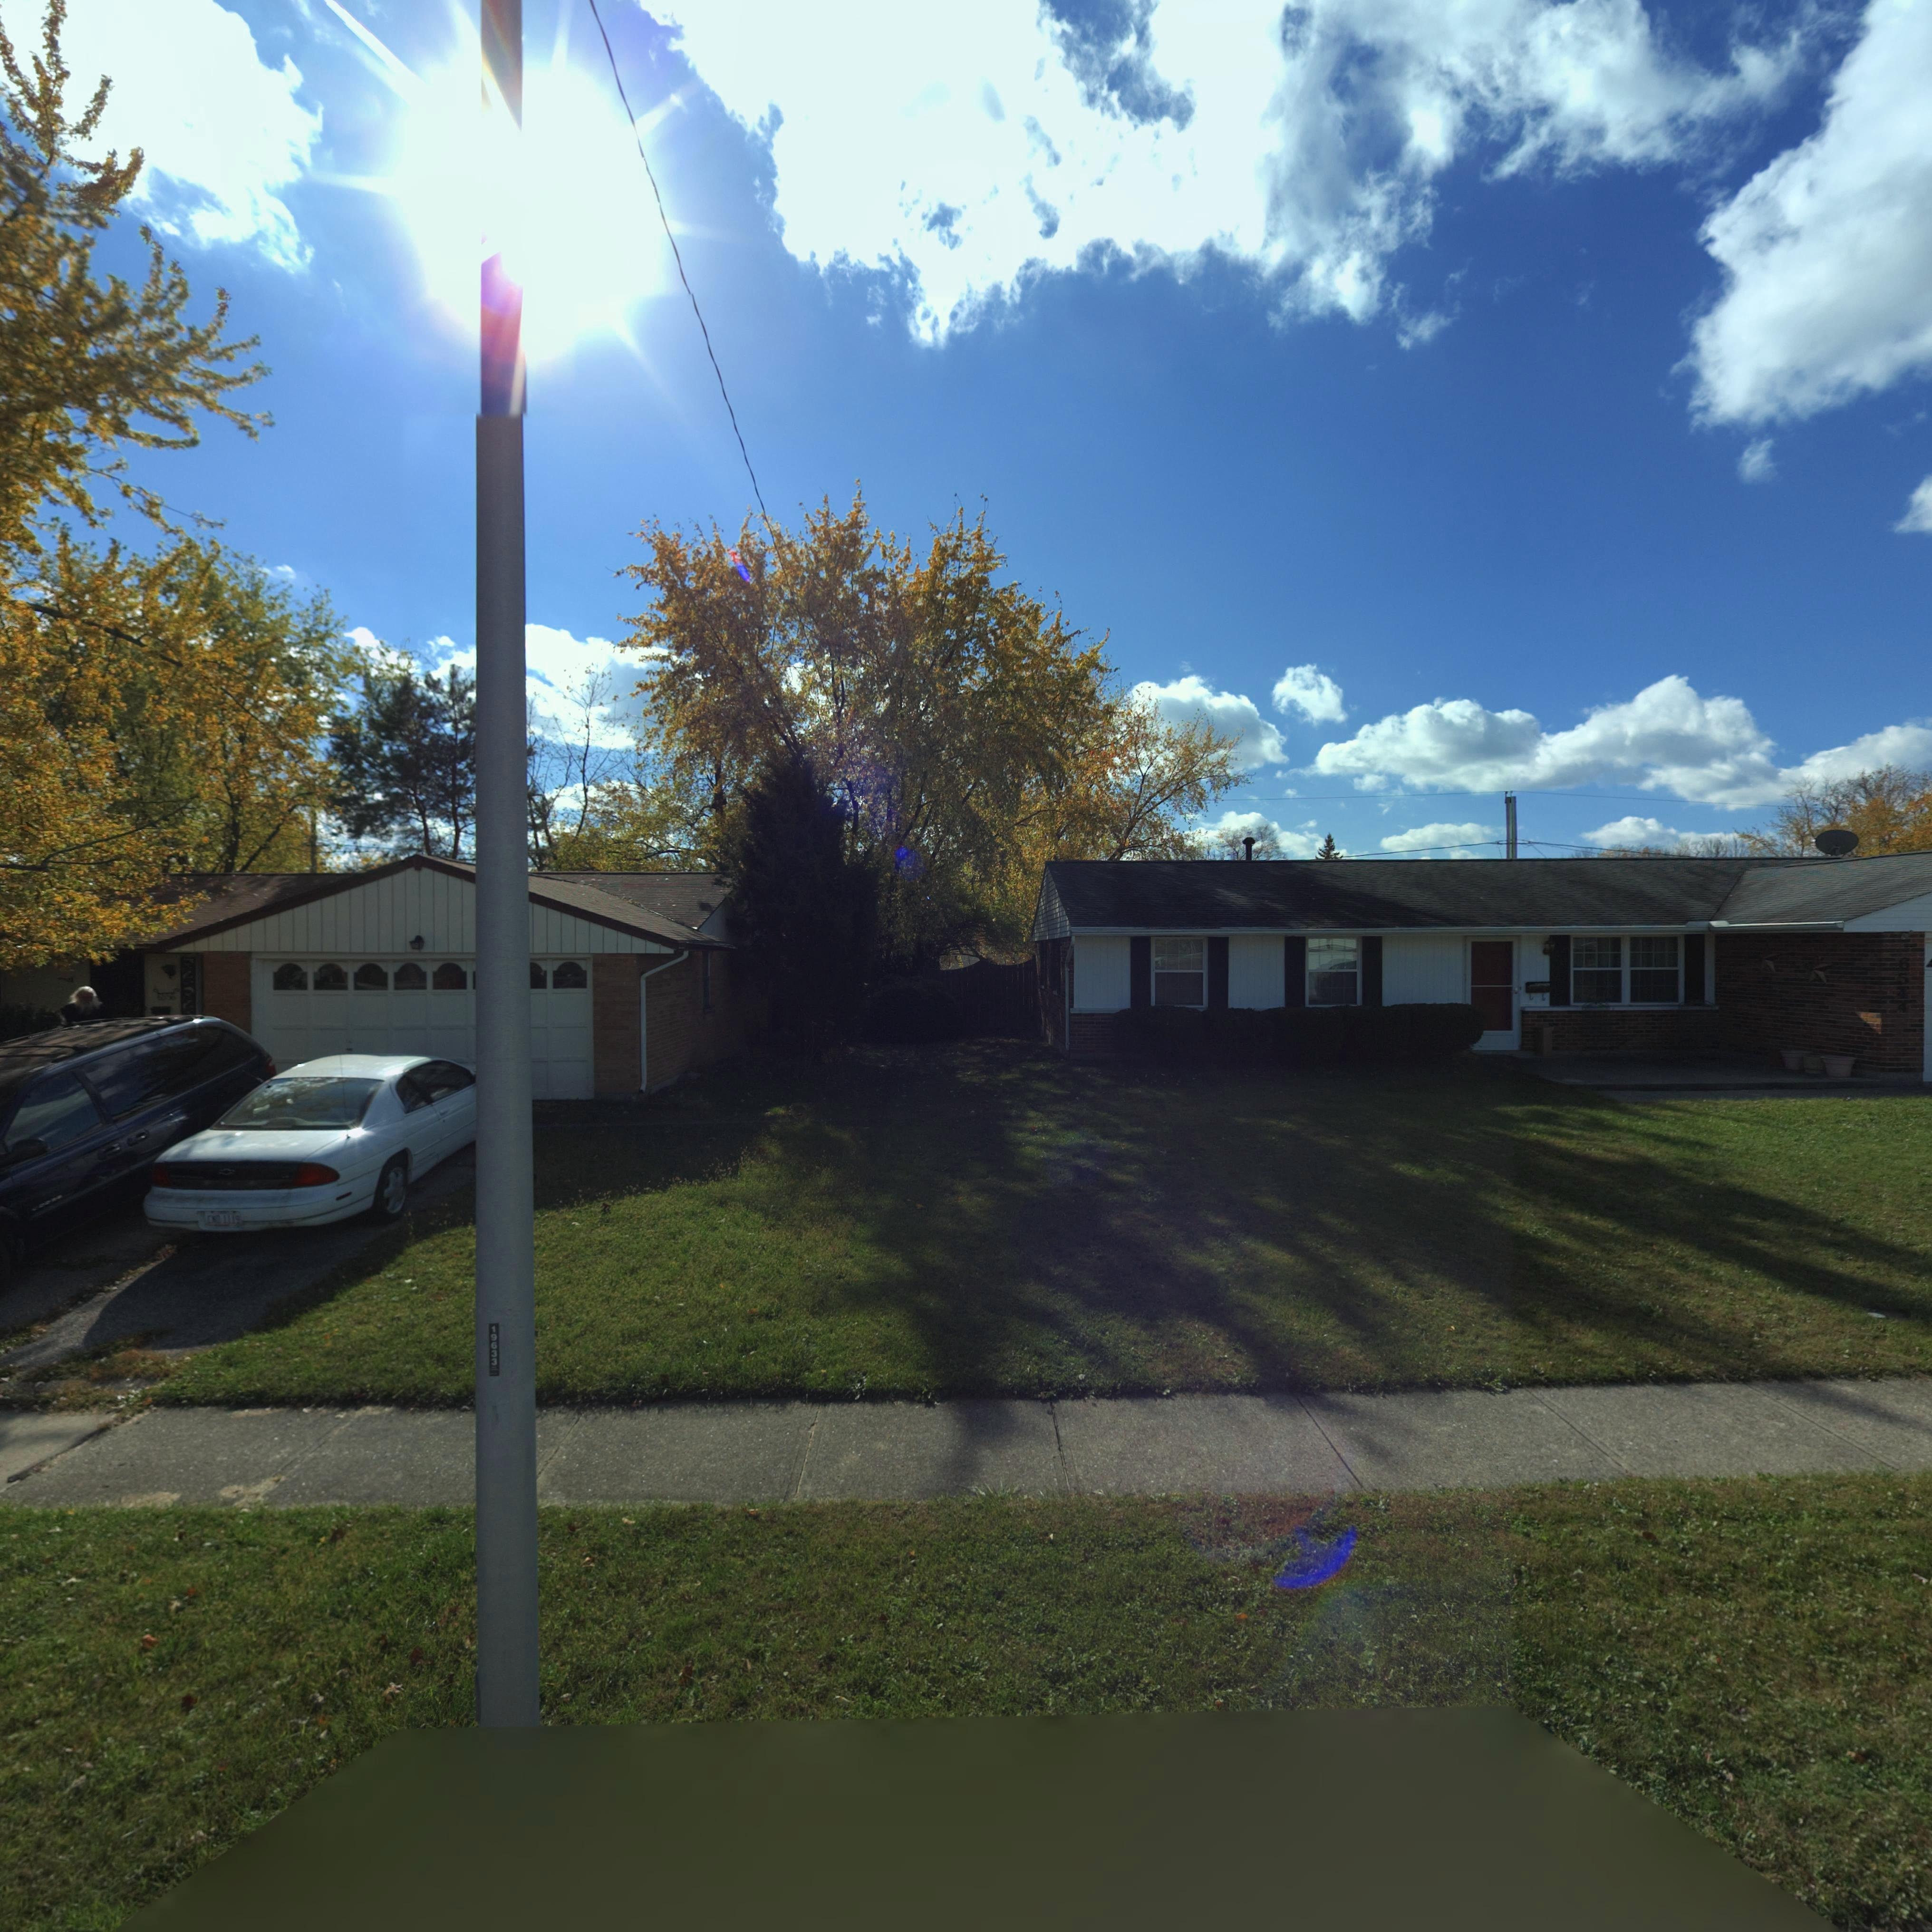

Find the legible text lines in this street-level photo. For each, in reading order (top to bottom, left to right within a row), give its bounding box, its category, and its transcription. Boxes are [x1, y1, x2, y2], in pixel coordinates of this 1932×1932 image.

[156, 992, 177, 1001] StreetNumber: 6556